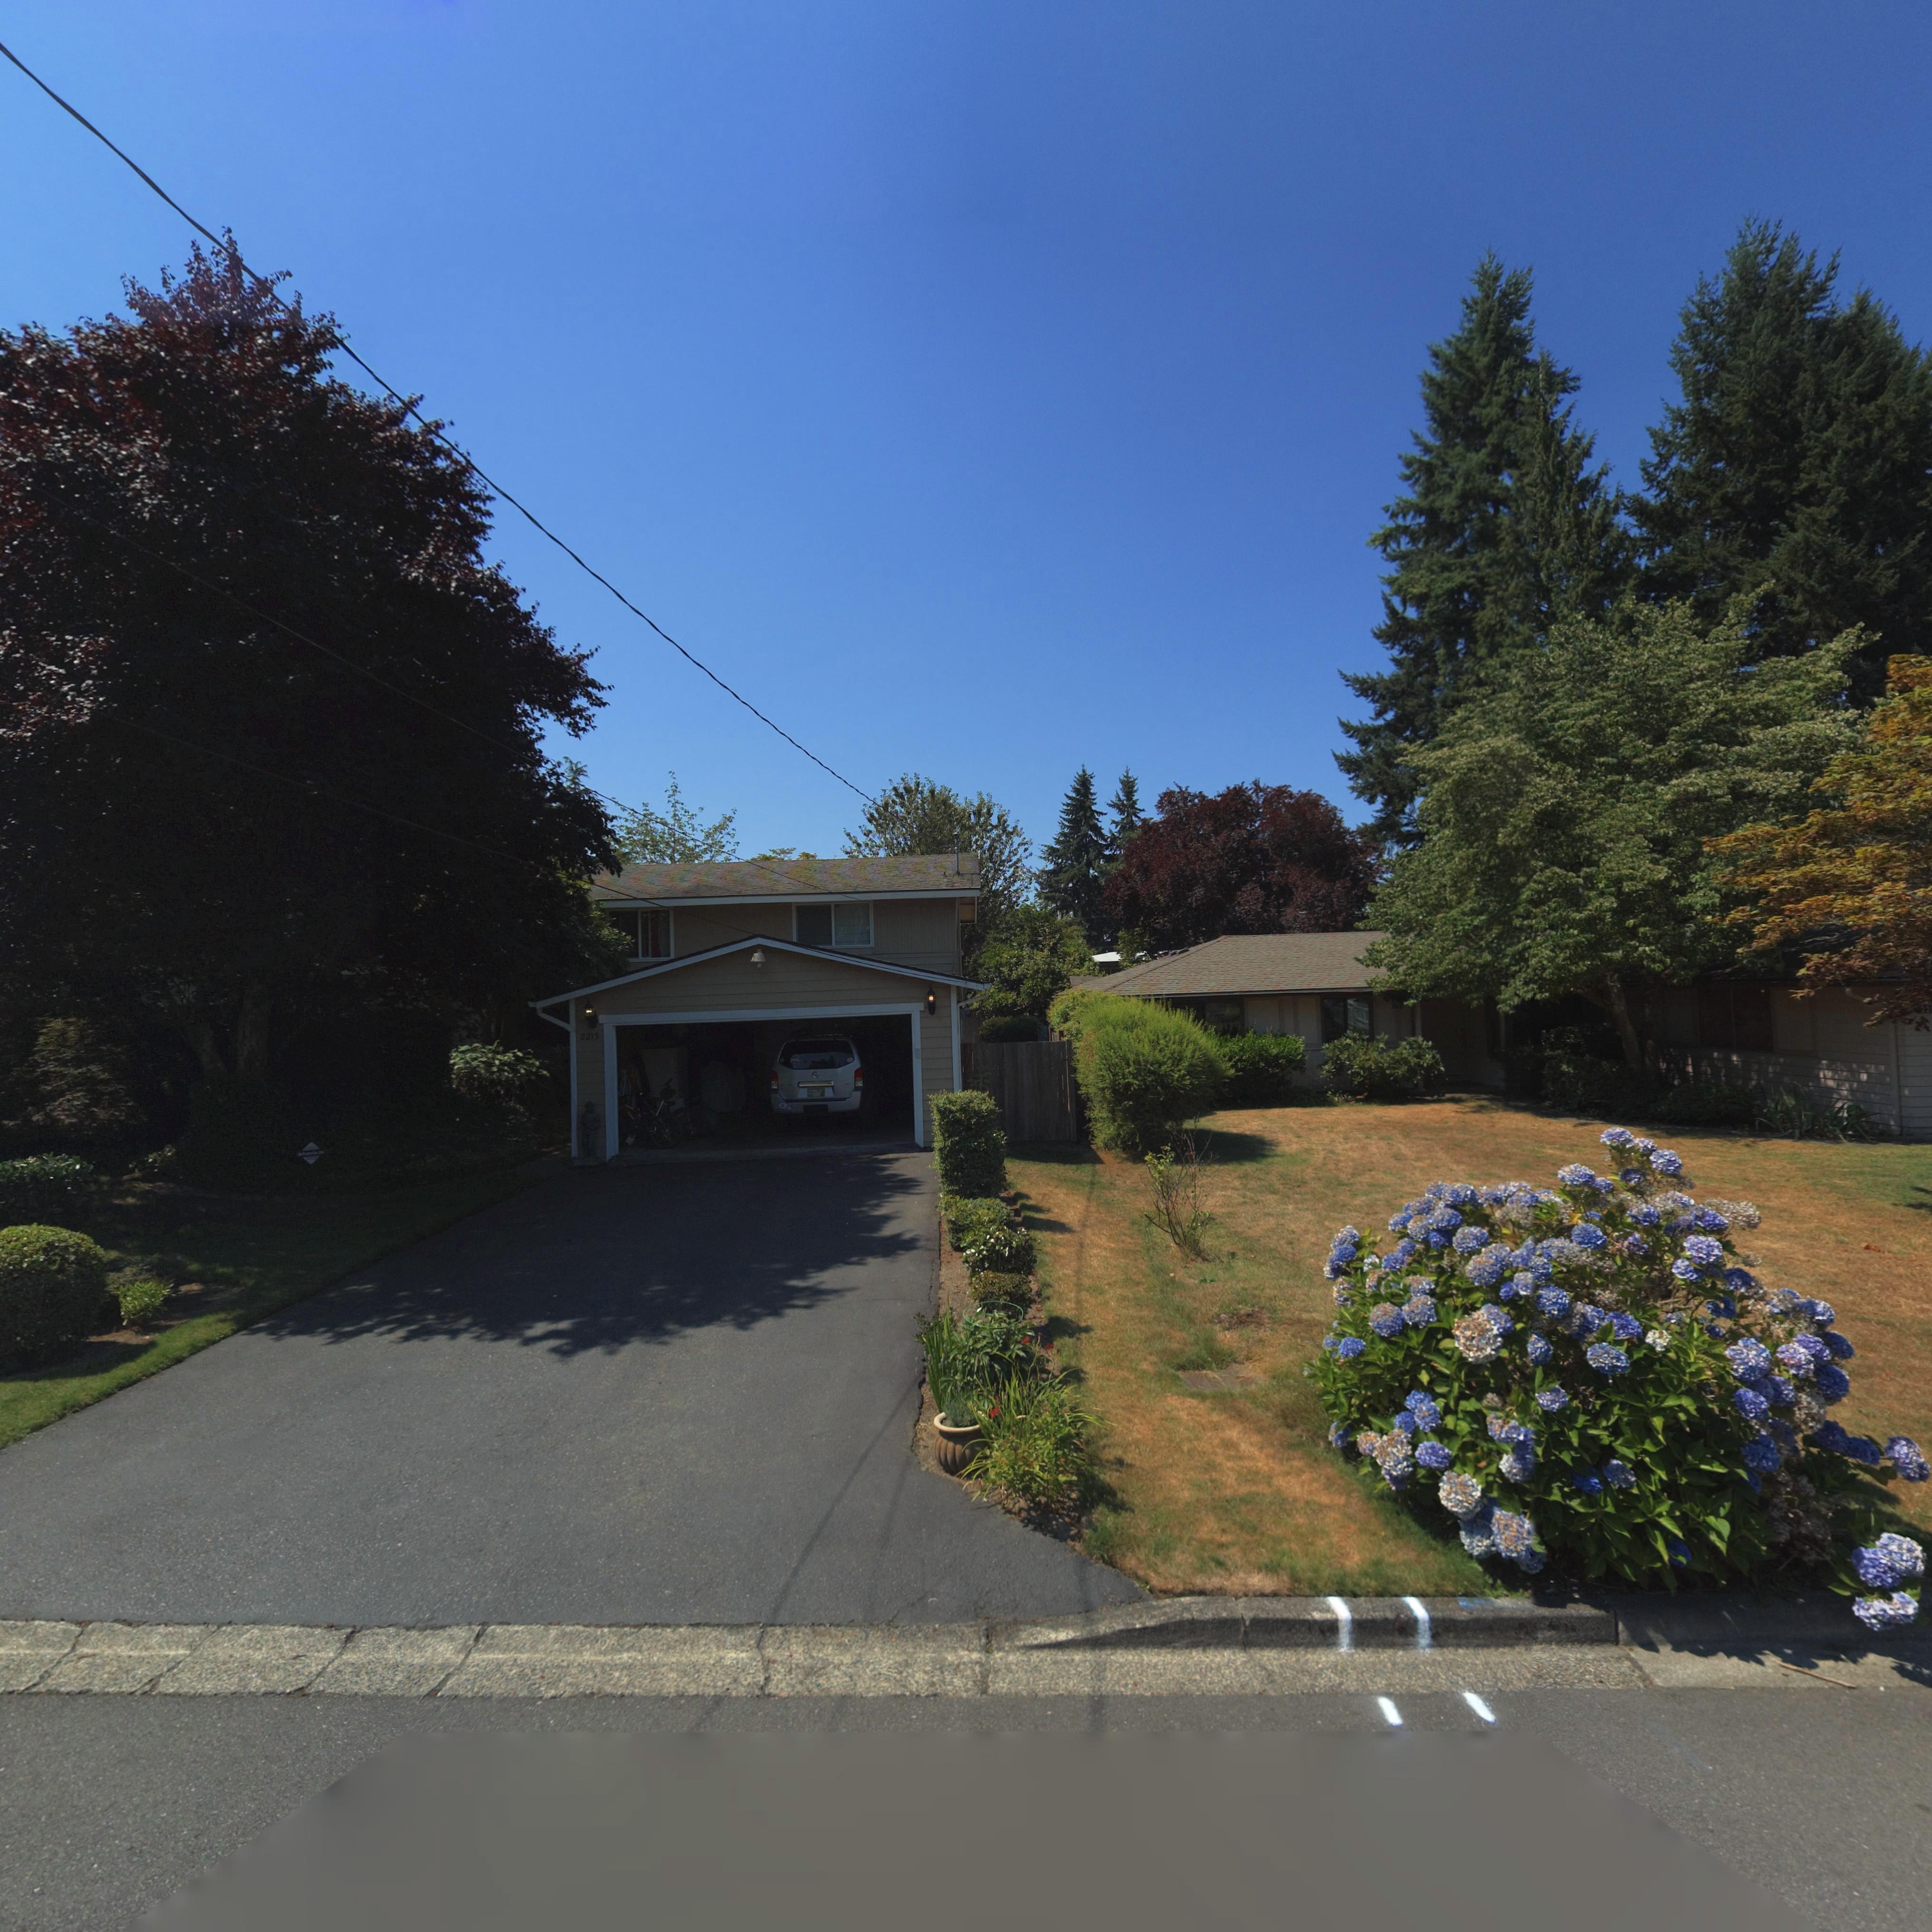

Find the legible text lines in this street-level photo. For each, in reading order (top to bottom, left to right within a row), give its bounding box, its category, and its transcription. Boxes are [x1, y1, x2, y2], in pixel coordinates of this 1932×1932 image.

[580, 1031, 599, 1041] StreetNumber: 221*